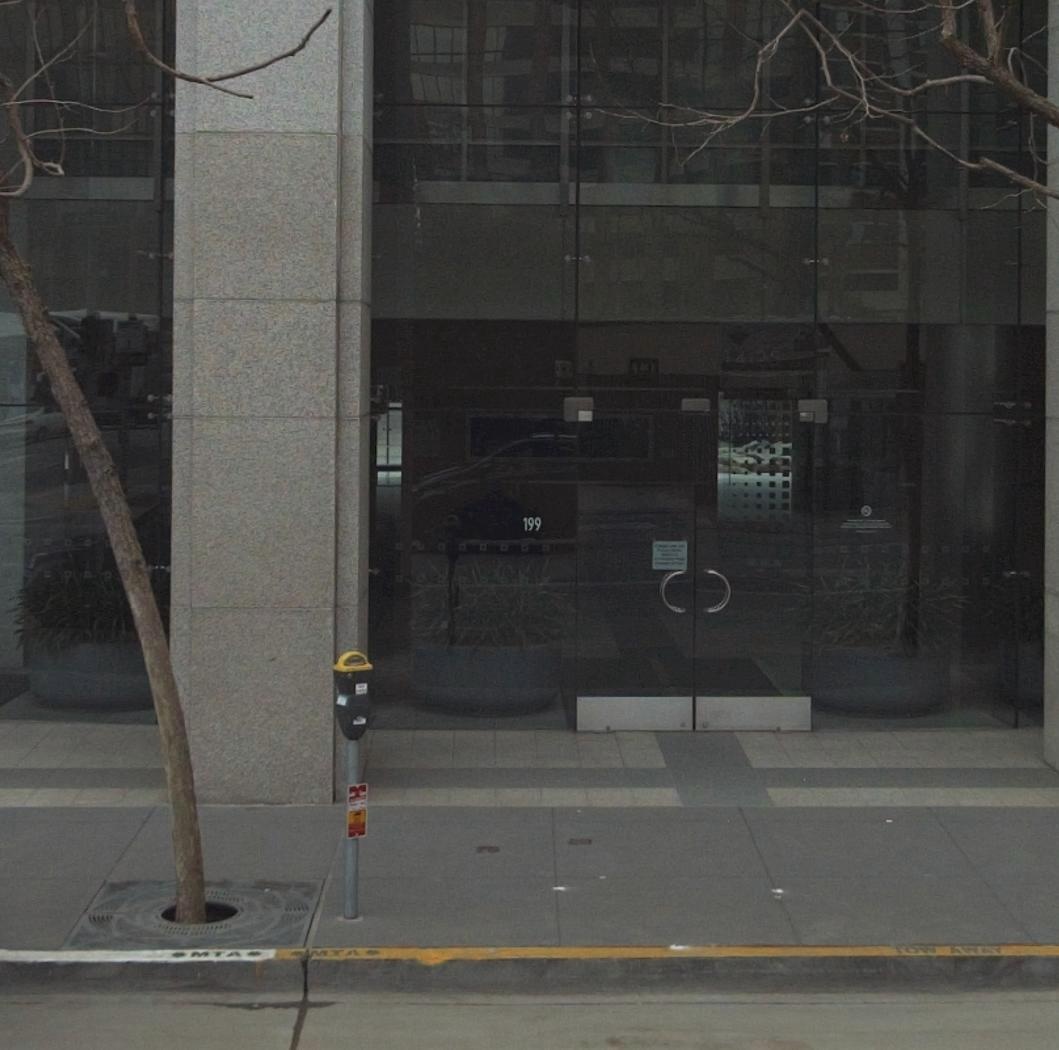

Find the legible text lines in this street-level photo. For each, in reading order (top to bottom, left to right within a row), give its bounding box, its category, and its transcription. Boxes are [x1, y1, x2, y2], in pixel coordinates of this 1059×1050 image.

[521, 515, 544, 534] StreetNumber: 199